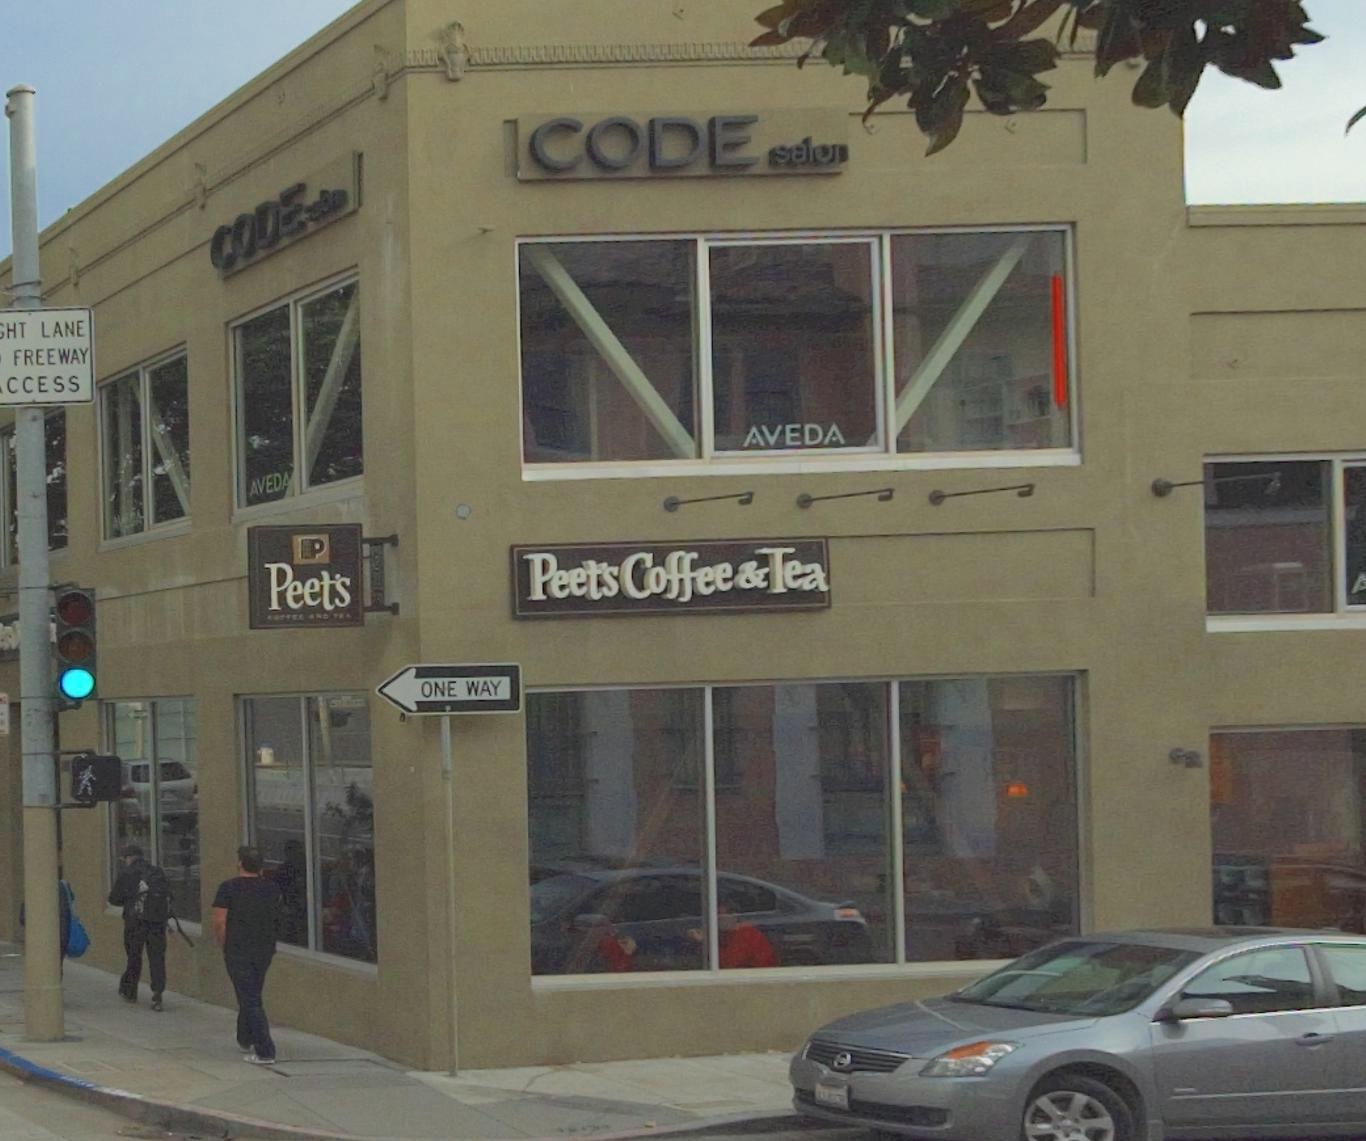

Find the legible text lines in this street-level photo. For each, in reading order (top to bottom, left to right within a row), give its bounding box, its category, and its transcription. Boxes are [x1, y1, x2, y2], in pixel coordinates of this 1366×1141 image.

[522, 109, 854, 180] BusinessName: CODE salon
[207, 174, 350, 277] BusinessName: CODE salon
[3, 317, 89, 342] None: HT LANE
[11, 345, 91, 369] None: FREEWAY
[3, 372, 84, 396] None: CCESS
[738, 418, 851, 450] None: AVEDA
[246, 466, 293, 502] None: AVEDA
[307, 534, 329, 561] None: P
[260, 559, 355, 613] BusinessName: Peet's
[519, 543, 832, 605] BusinessName: Peet's Coffee & Tea
[418, 677, 505, 700] None: ONE WAY